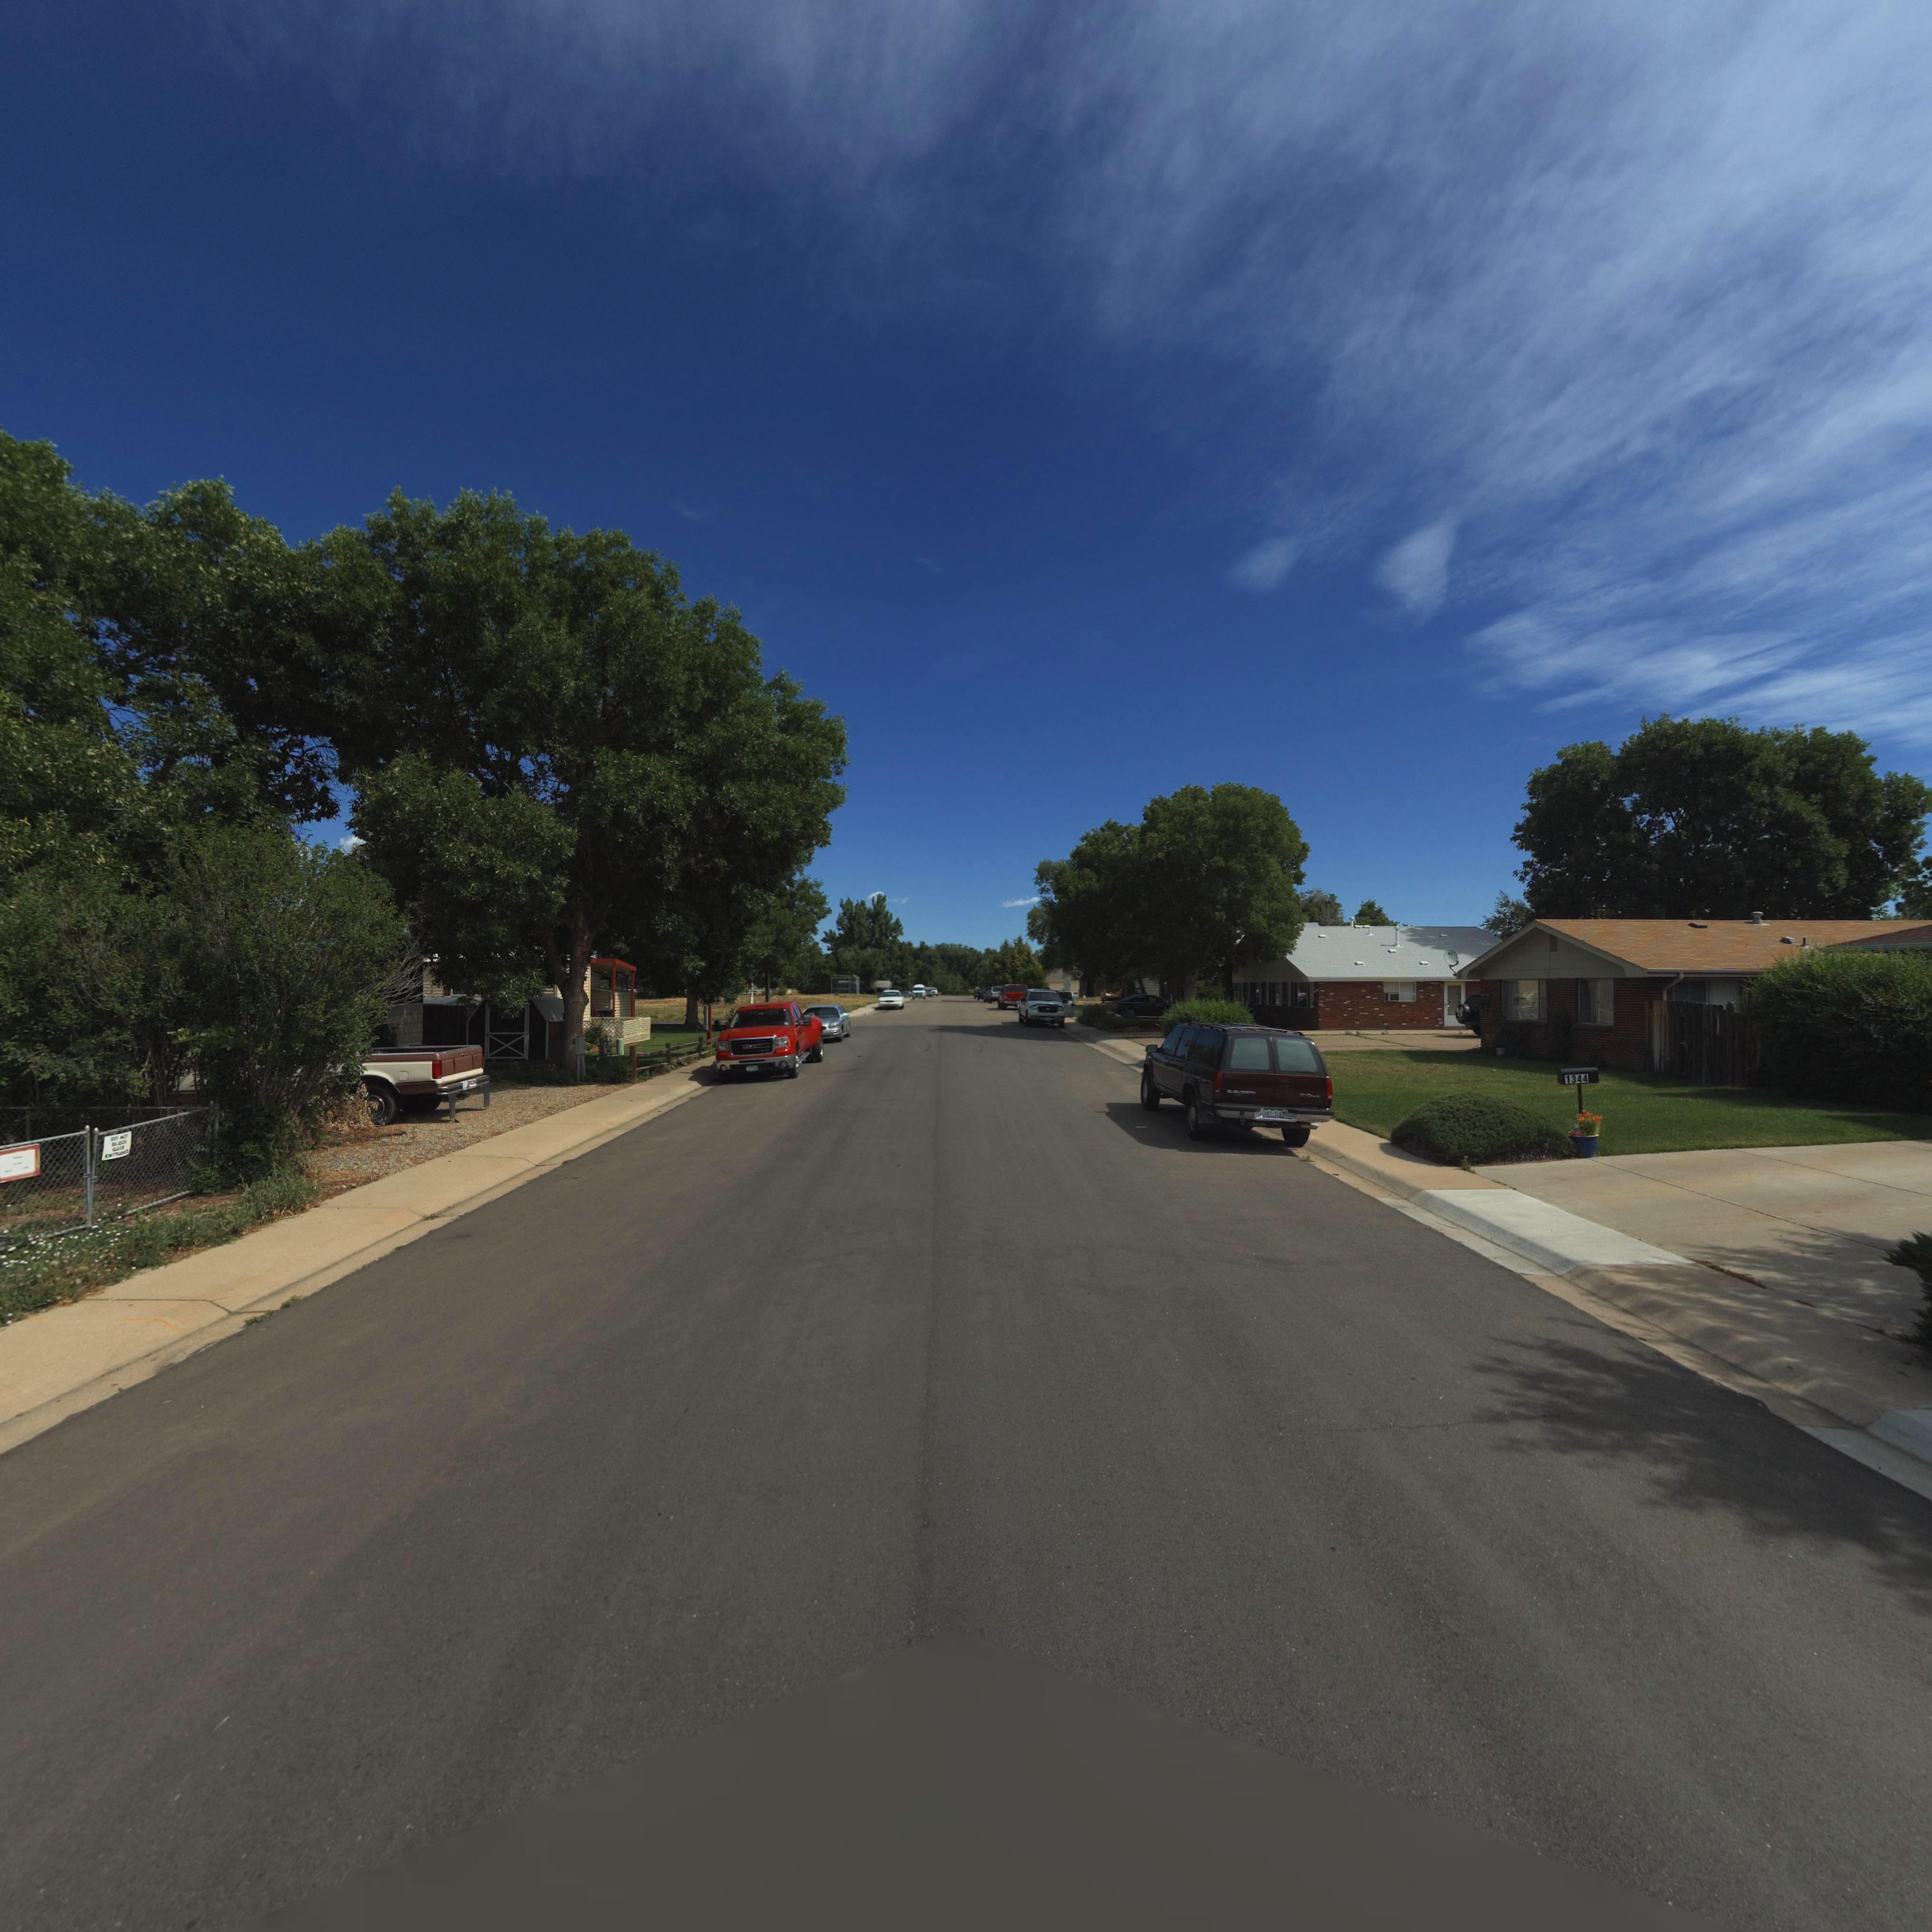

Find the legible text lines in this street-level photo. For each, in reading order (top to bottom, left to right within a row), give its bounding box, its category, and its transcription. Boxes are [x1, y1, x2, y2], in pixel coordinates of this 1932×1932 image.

[1565, 1074, 1588, 1083] StreetNumber: 1344